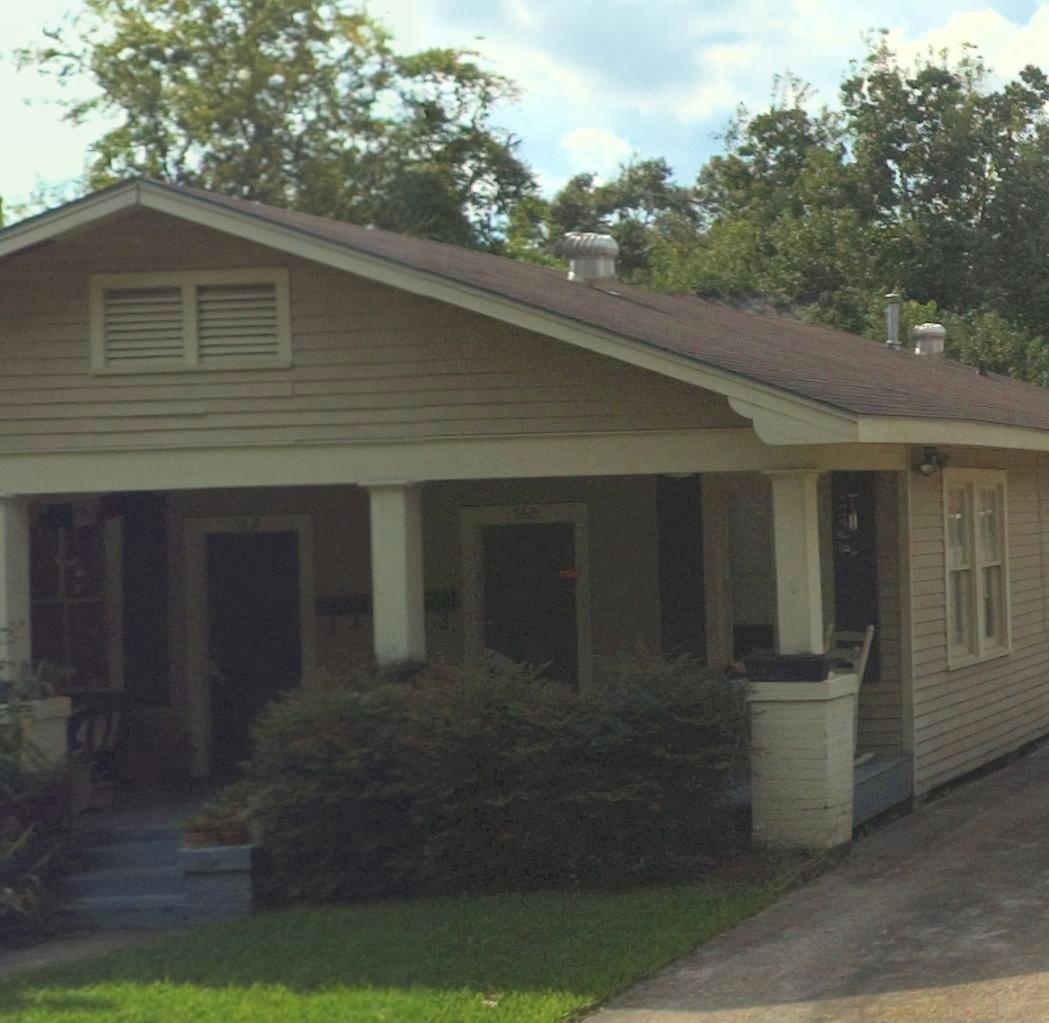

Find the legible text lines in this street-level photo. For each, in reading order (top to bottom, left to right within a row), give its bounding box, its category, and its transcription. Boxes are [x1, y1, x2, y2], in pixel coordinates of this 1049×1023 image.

[230, 515, 262, 533] StreetNumber: 56*
[509, 504, 543, 524] StreetNumber: 560